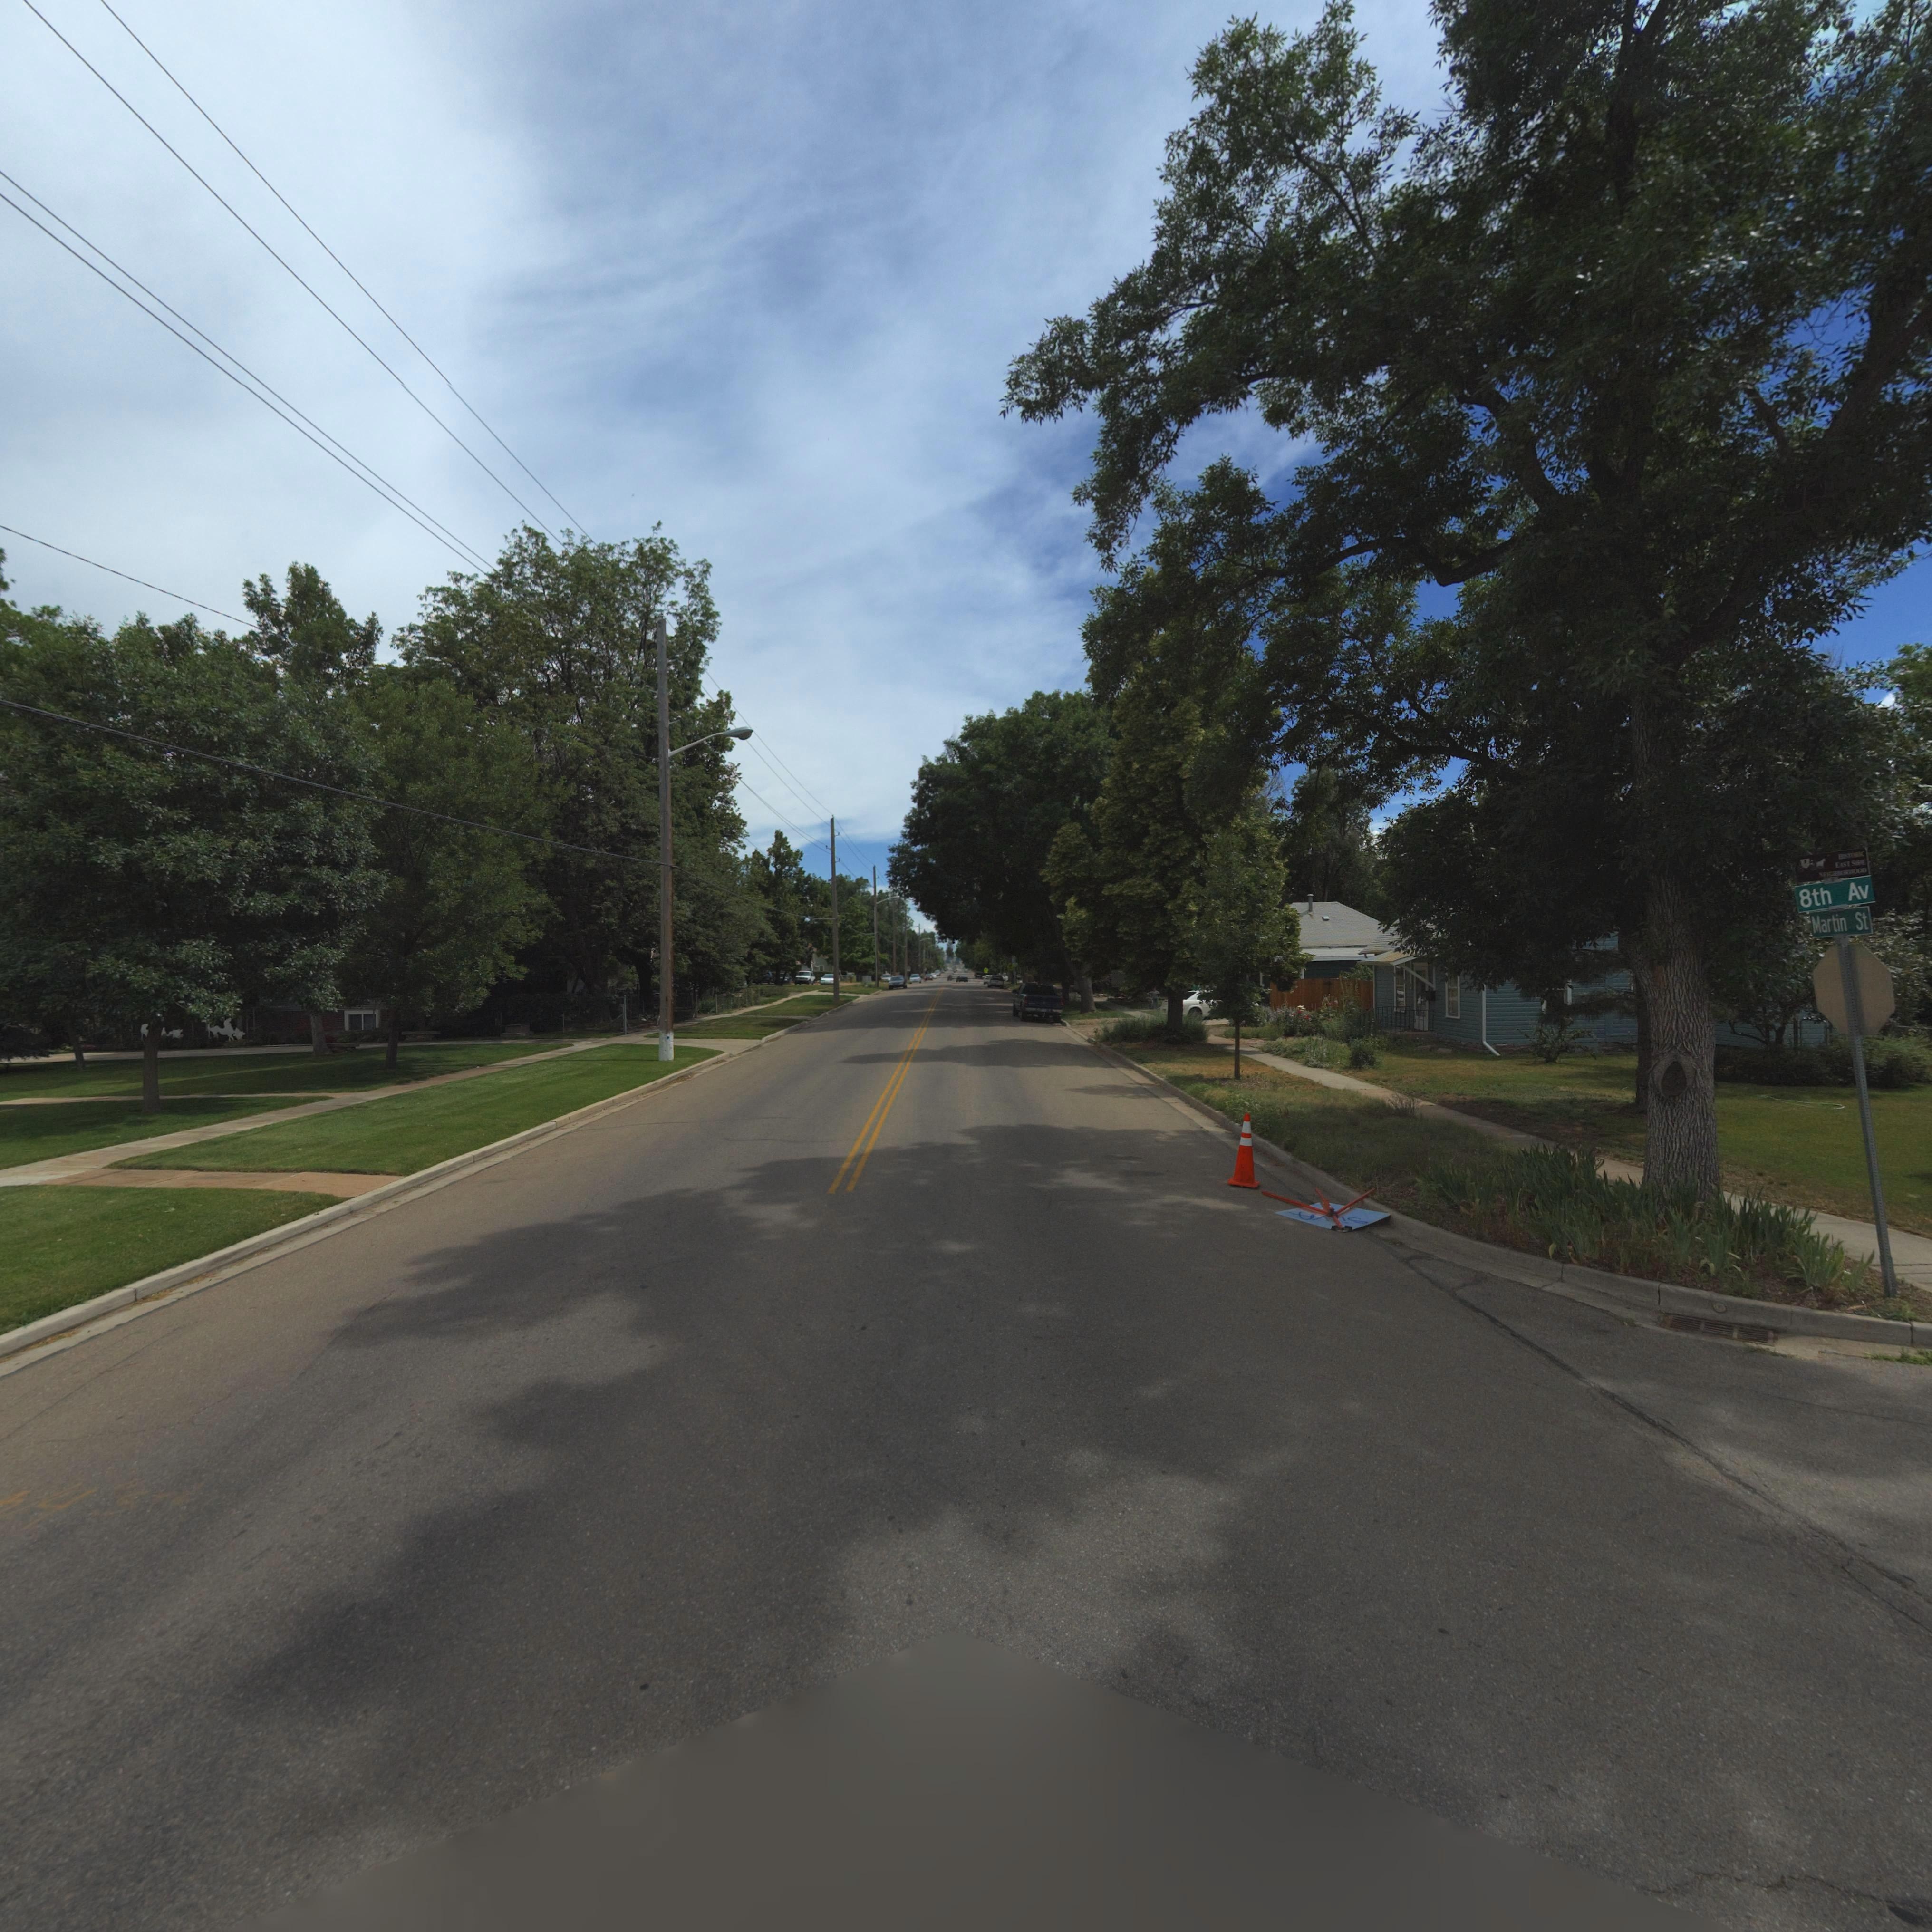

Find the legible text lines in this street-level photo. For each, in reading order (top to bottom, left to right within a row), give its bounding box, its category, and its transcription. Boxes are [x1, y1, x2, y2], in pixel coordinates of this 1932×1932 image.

[1796, 879, 1870, 909] StreetName: 8th Av
[1810, 910, 1870, 934] StreetName: Martin St